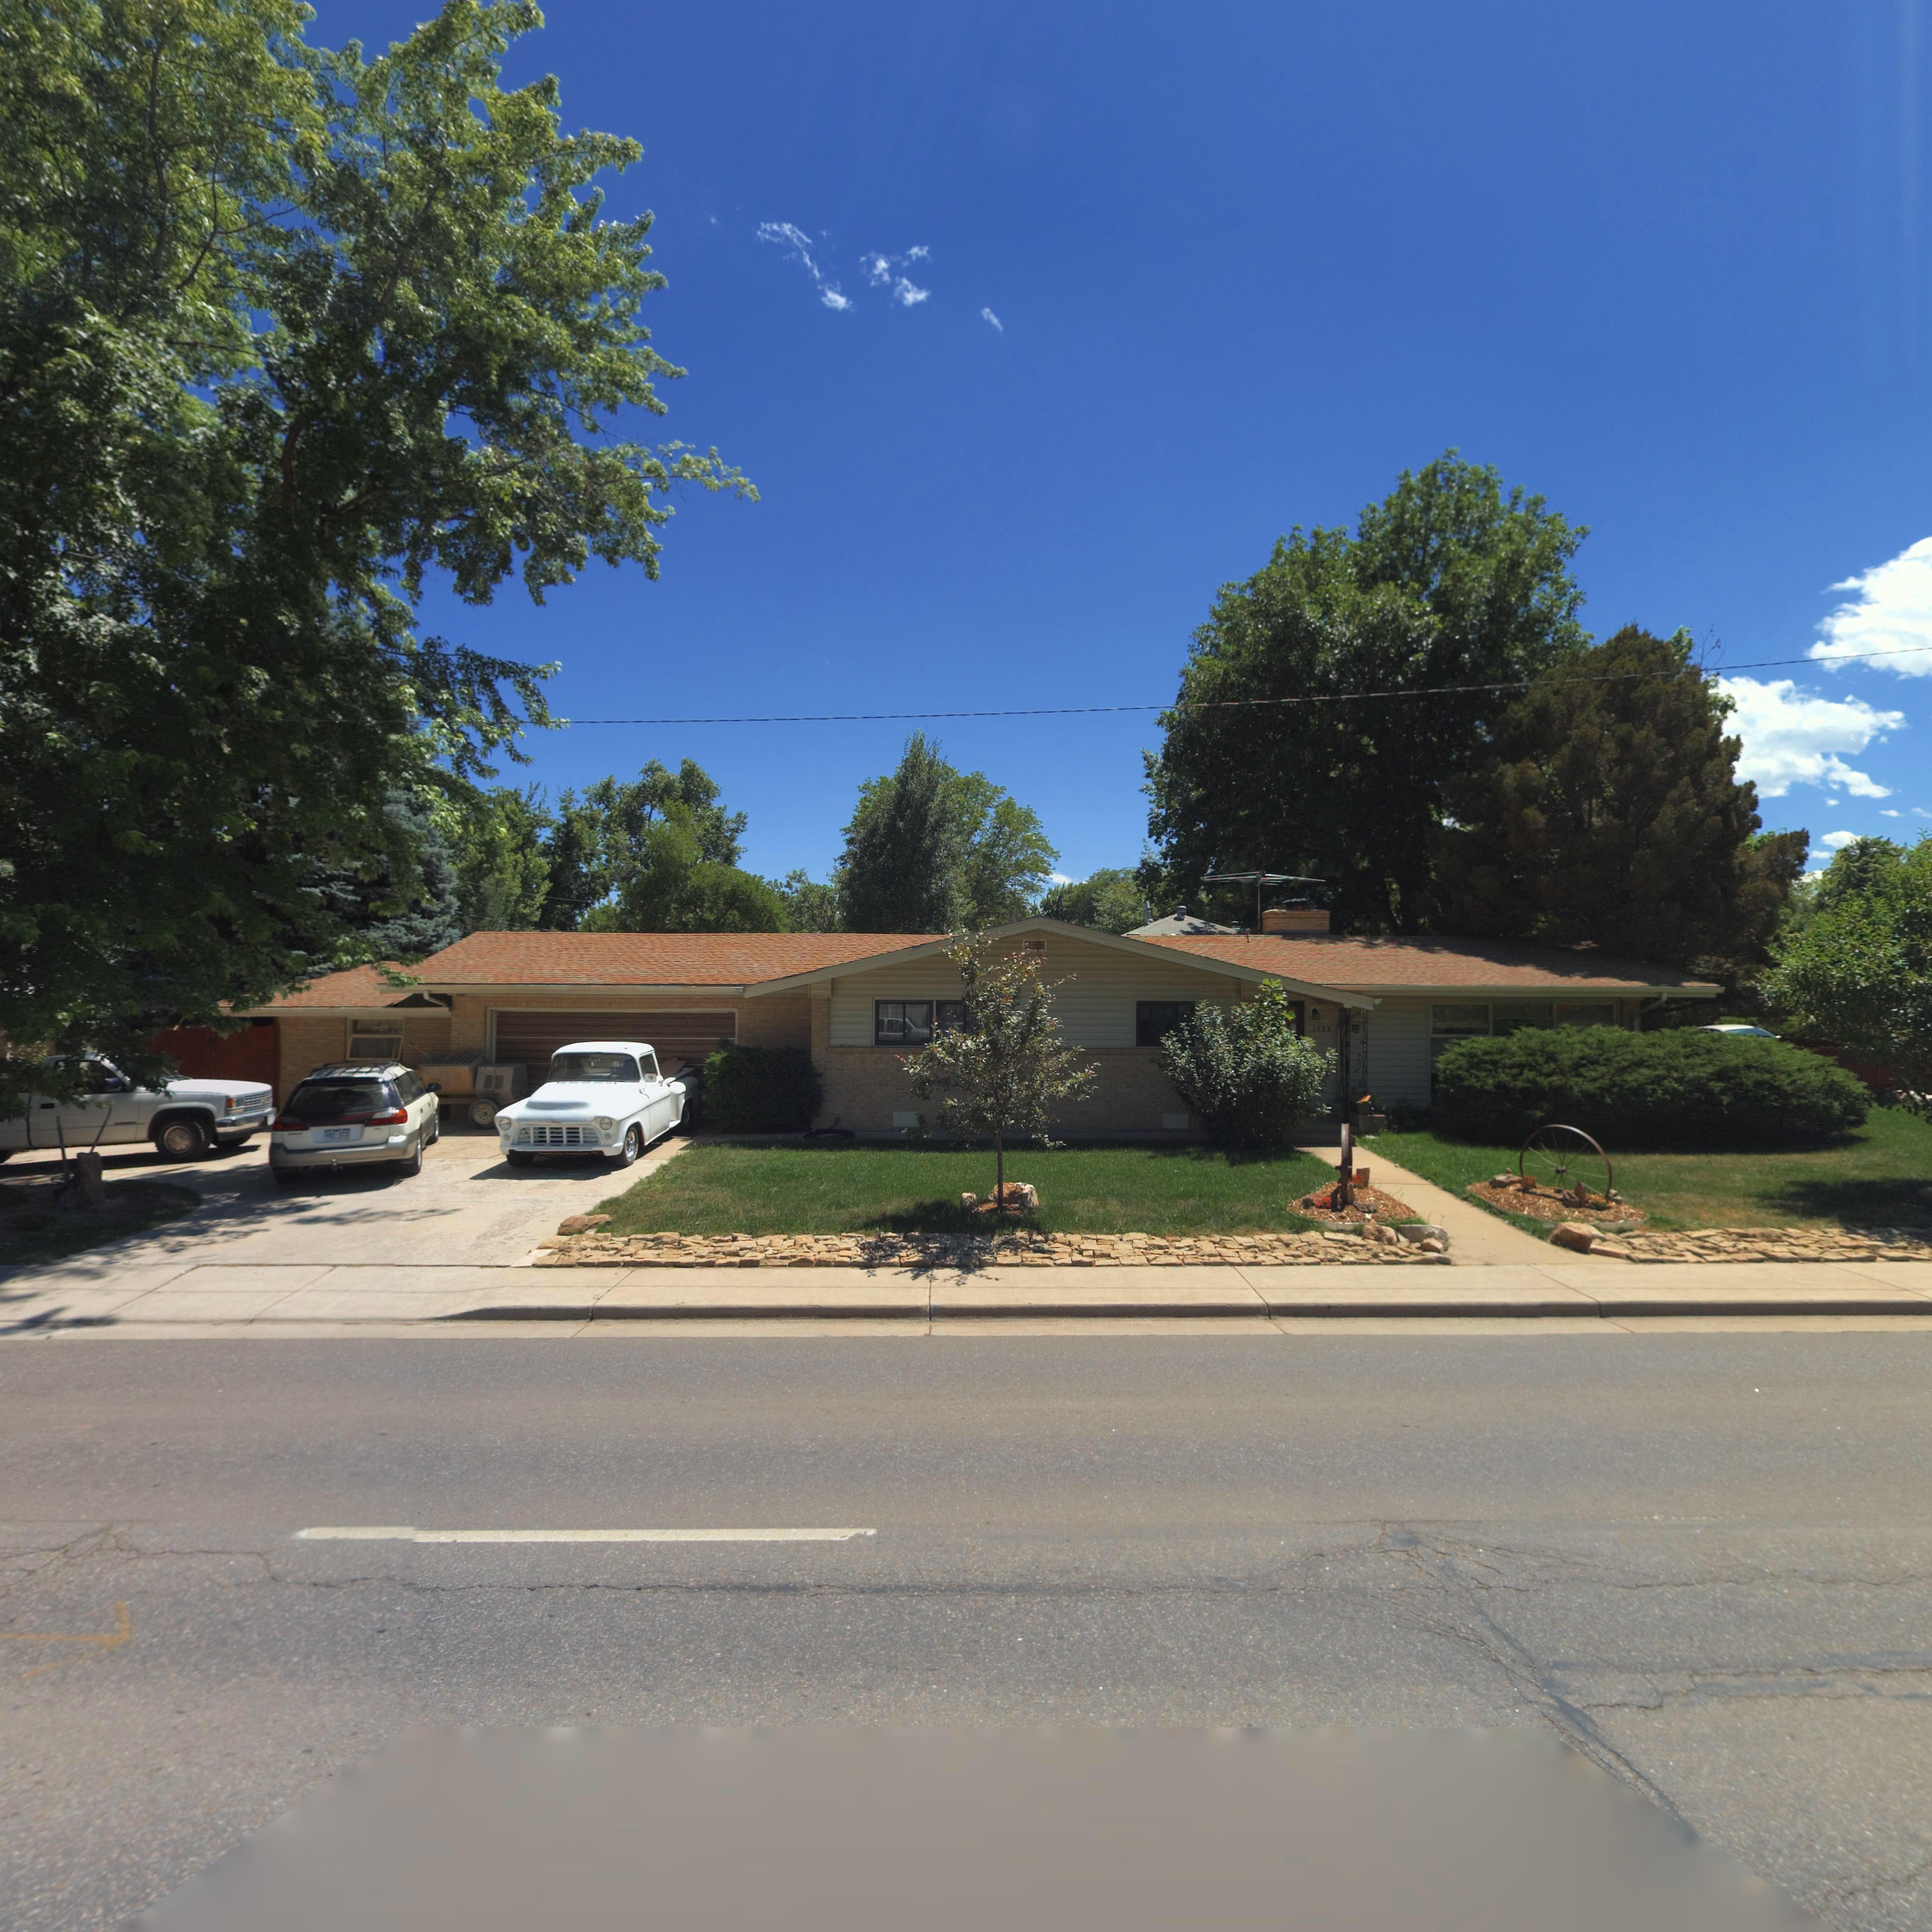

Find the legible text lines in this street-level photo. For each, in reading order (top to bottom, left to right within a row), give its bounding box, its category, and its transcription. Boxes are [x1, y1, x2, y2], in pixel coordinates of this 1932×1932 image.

[1312, 1025, 1331, 1033] StreetNumber: 1323